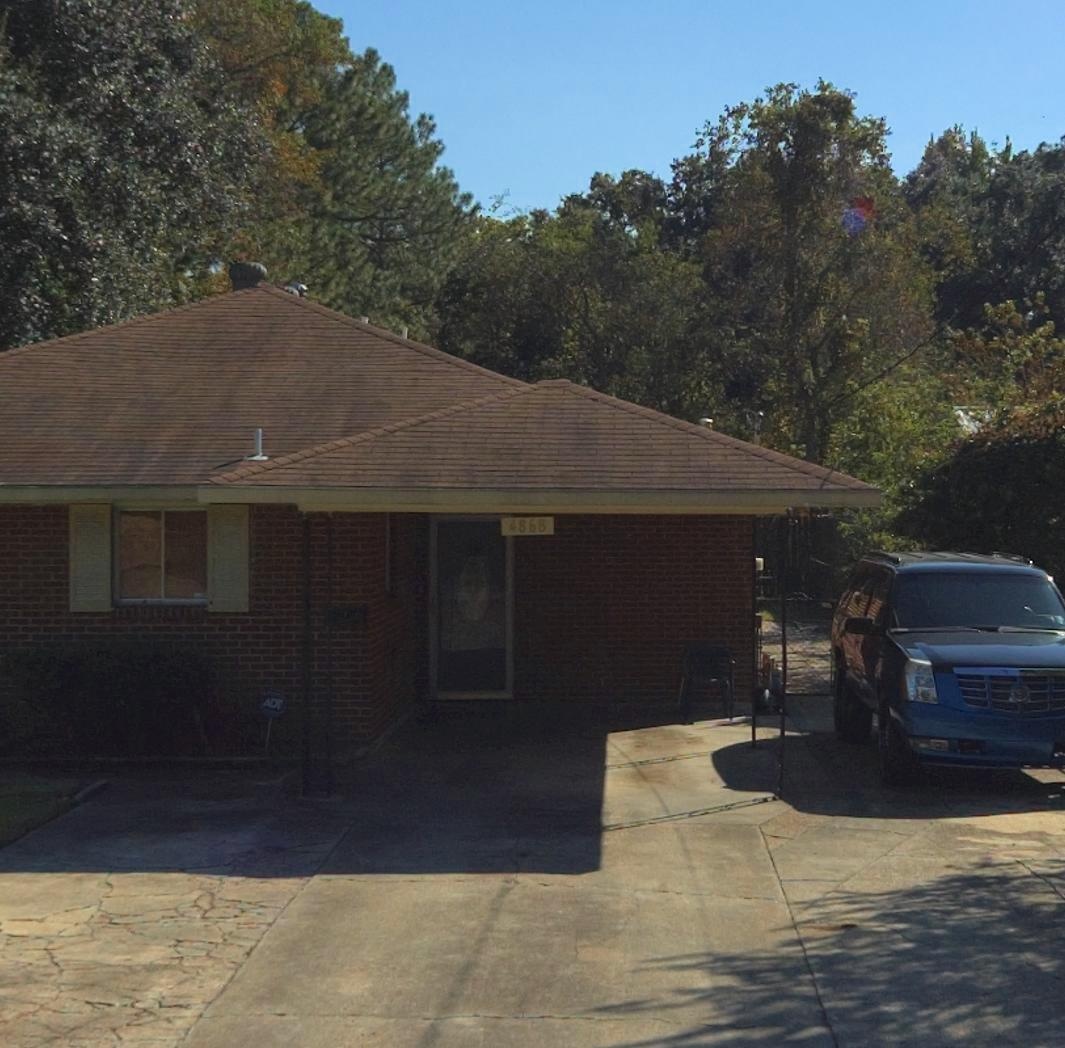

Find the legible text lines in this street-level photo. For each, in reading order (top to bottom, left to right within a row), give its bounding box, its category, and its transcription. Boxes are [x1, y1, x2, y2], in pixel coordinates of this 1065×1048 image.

[508, 517, 547, 534] StreetNumber: 4868
[260, 696, 285, 711] None: ADT